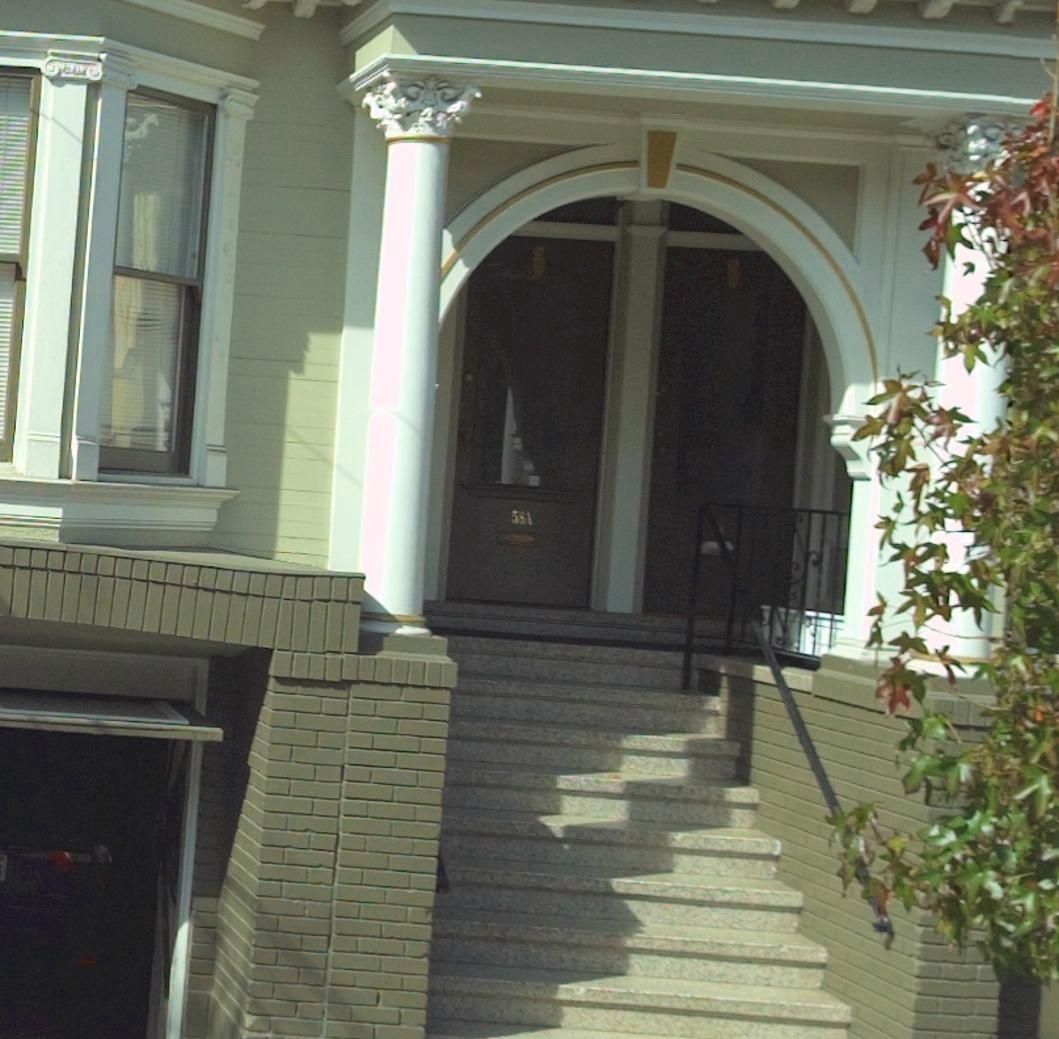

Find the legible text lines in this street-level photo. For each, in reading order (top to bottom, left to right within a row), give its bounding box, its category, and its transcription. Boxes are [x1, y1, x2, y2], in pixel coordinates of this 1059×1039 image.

[511, 510, 534, 525] StreetNumber: 581